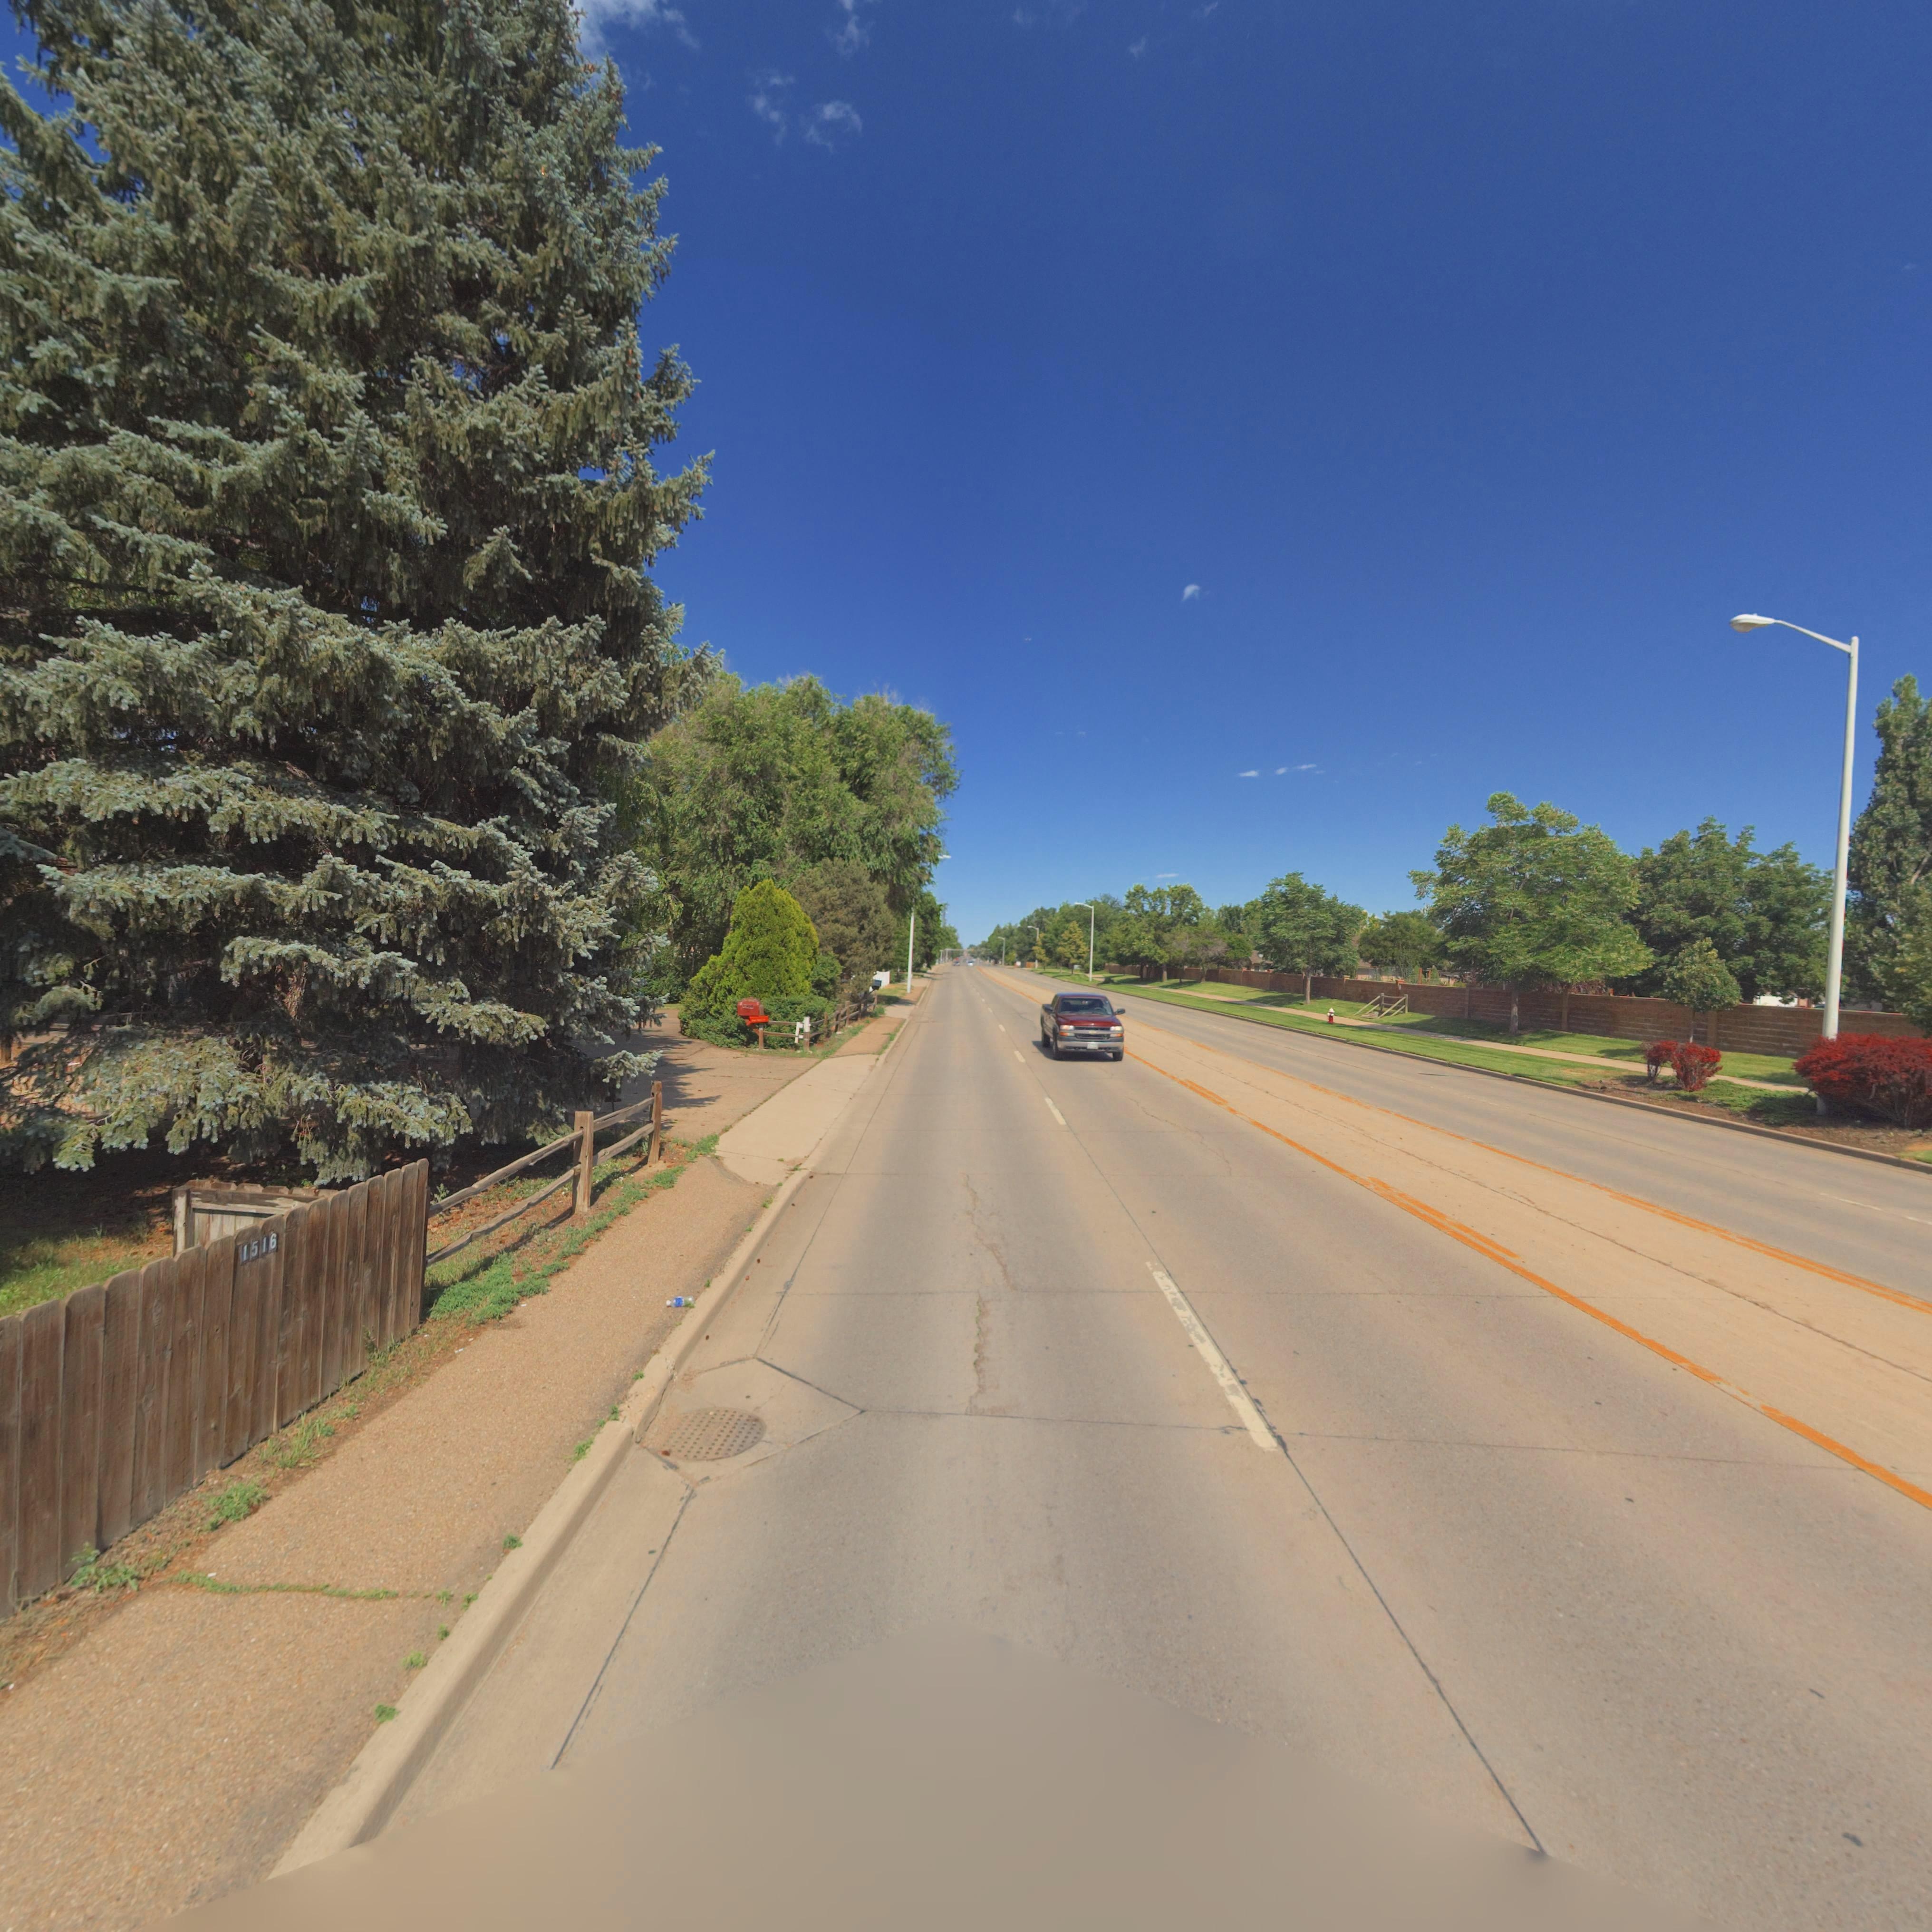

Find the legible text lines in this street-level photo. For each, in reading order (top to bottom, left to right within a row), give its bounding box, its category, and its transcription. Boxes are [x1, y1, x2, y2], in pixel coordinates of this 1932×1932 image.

[242, 1232, 277, 1262] StreetNumber: 1516